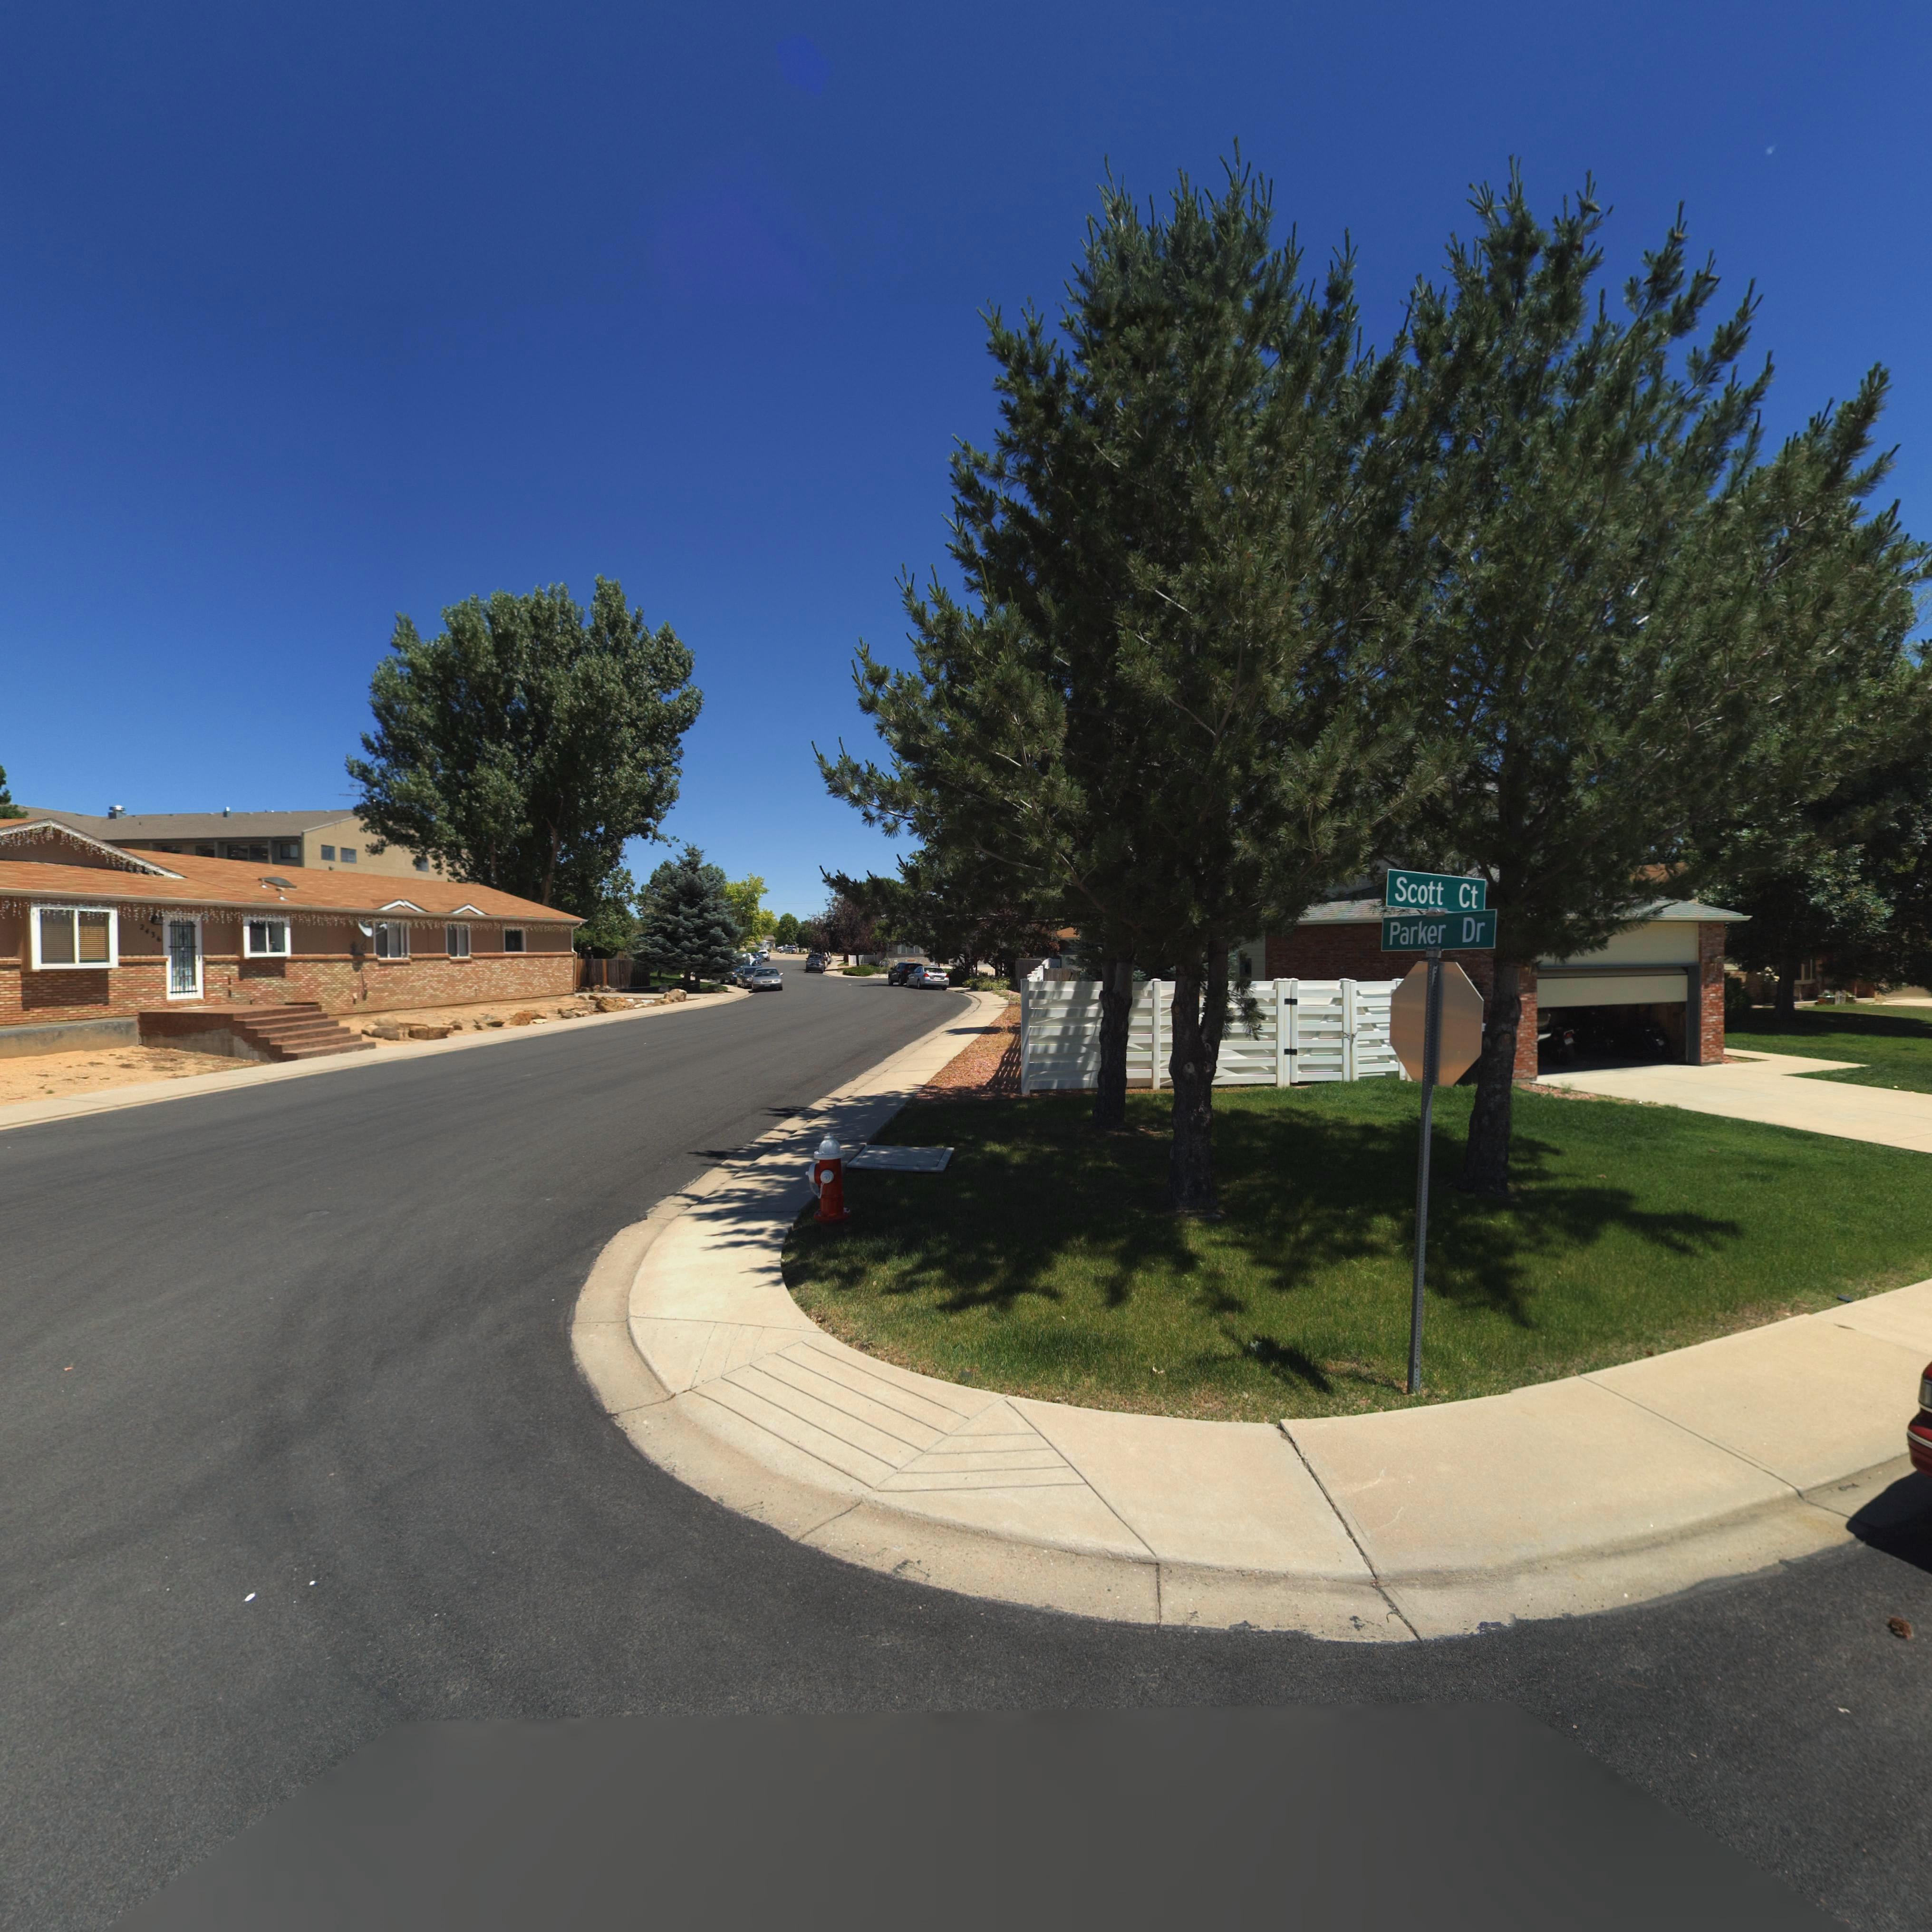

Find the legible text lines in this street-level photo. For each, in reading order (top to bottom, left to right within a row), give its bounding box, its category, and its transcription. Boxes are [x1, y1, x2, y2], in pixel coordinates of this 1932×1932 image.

[1394, 876, 1478, 909] StreetName: Scott Ct
[139, 923, 161, 943] StreetNumber: 2436
[1389, 916, 1485, 945] StreetName: Parker Dr